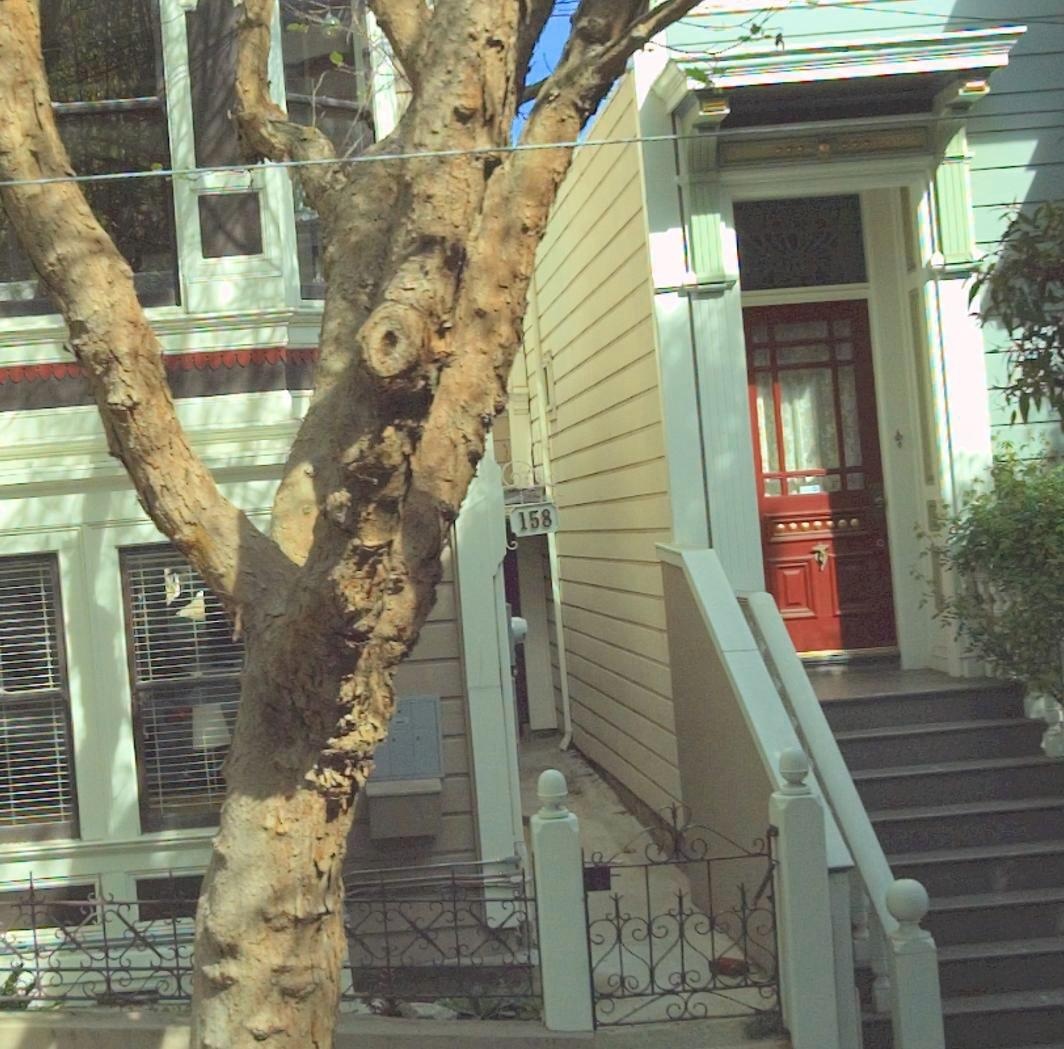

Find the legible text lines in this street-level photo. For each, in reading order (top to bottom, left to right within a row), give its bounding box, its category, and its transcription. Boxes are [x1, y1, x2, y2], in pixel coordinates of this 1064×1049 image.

[516, 507, 554, 532] StreetNumber: 158